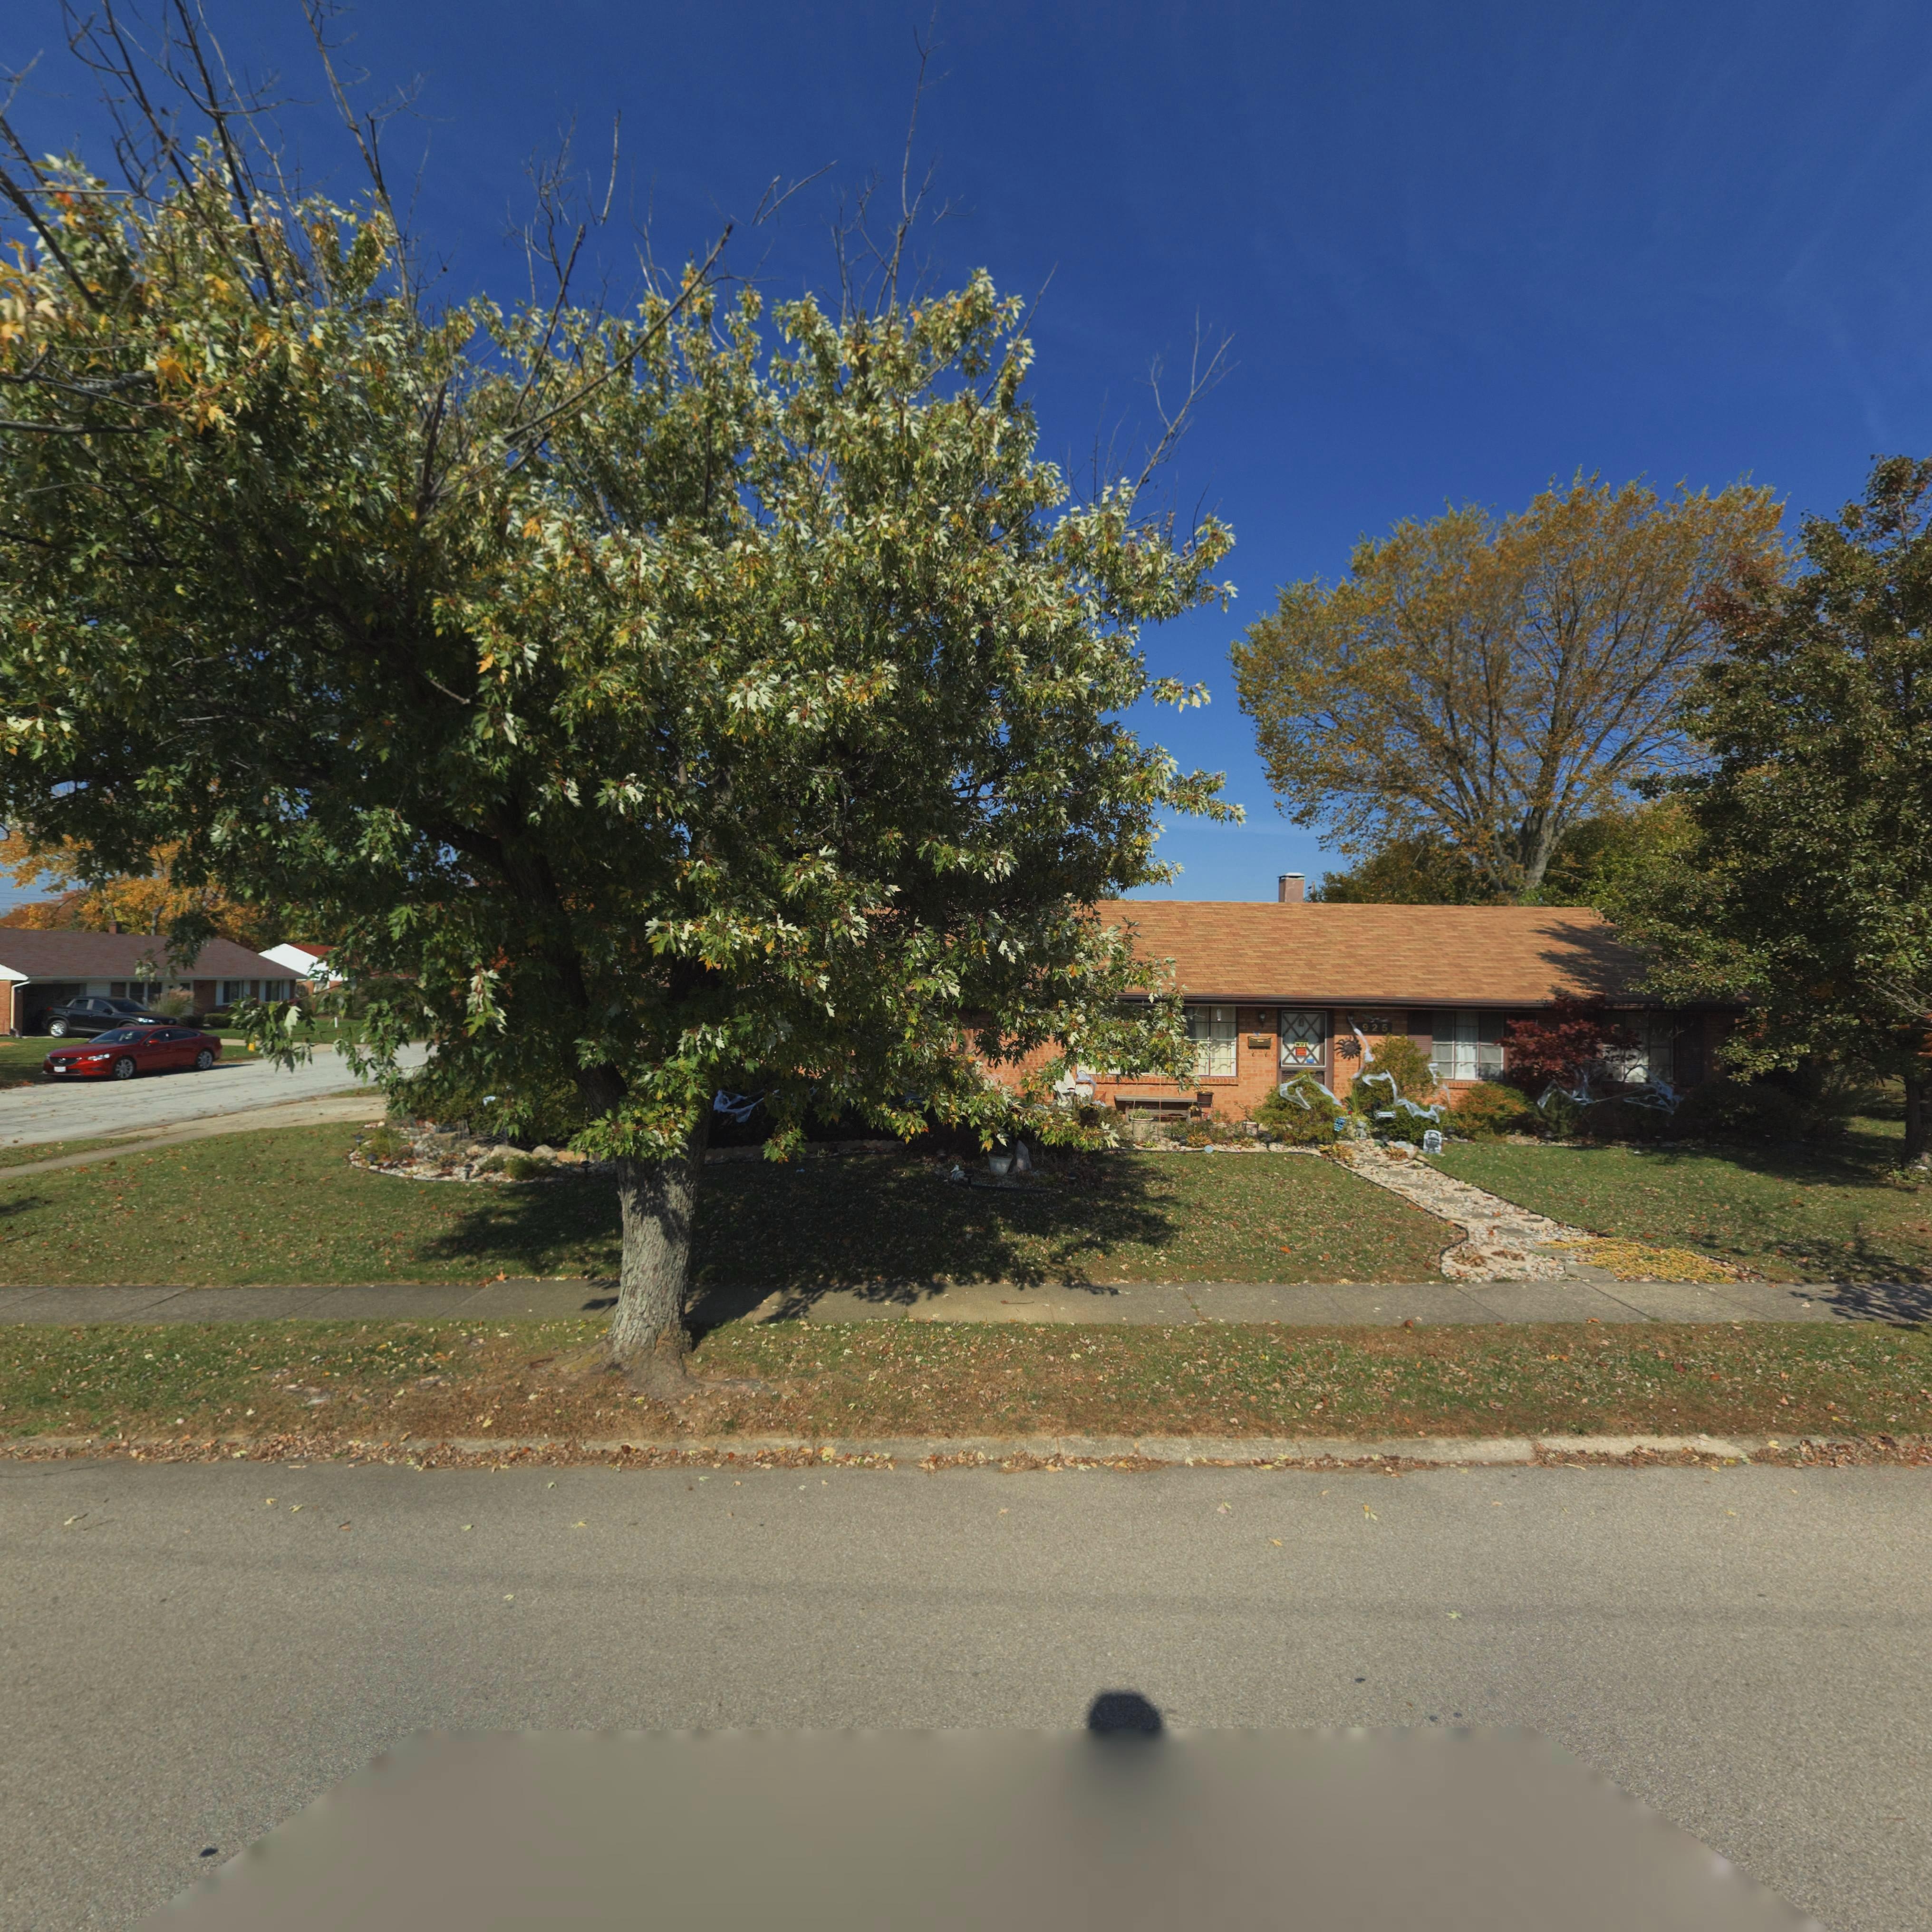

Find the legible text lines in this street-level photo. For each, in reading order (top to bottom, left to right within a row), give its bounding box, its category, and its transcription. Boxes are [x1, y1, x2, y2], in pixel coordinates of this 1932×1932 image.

[1361, 1021, 1390, 1033] StreetNumber: 925